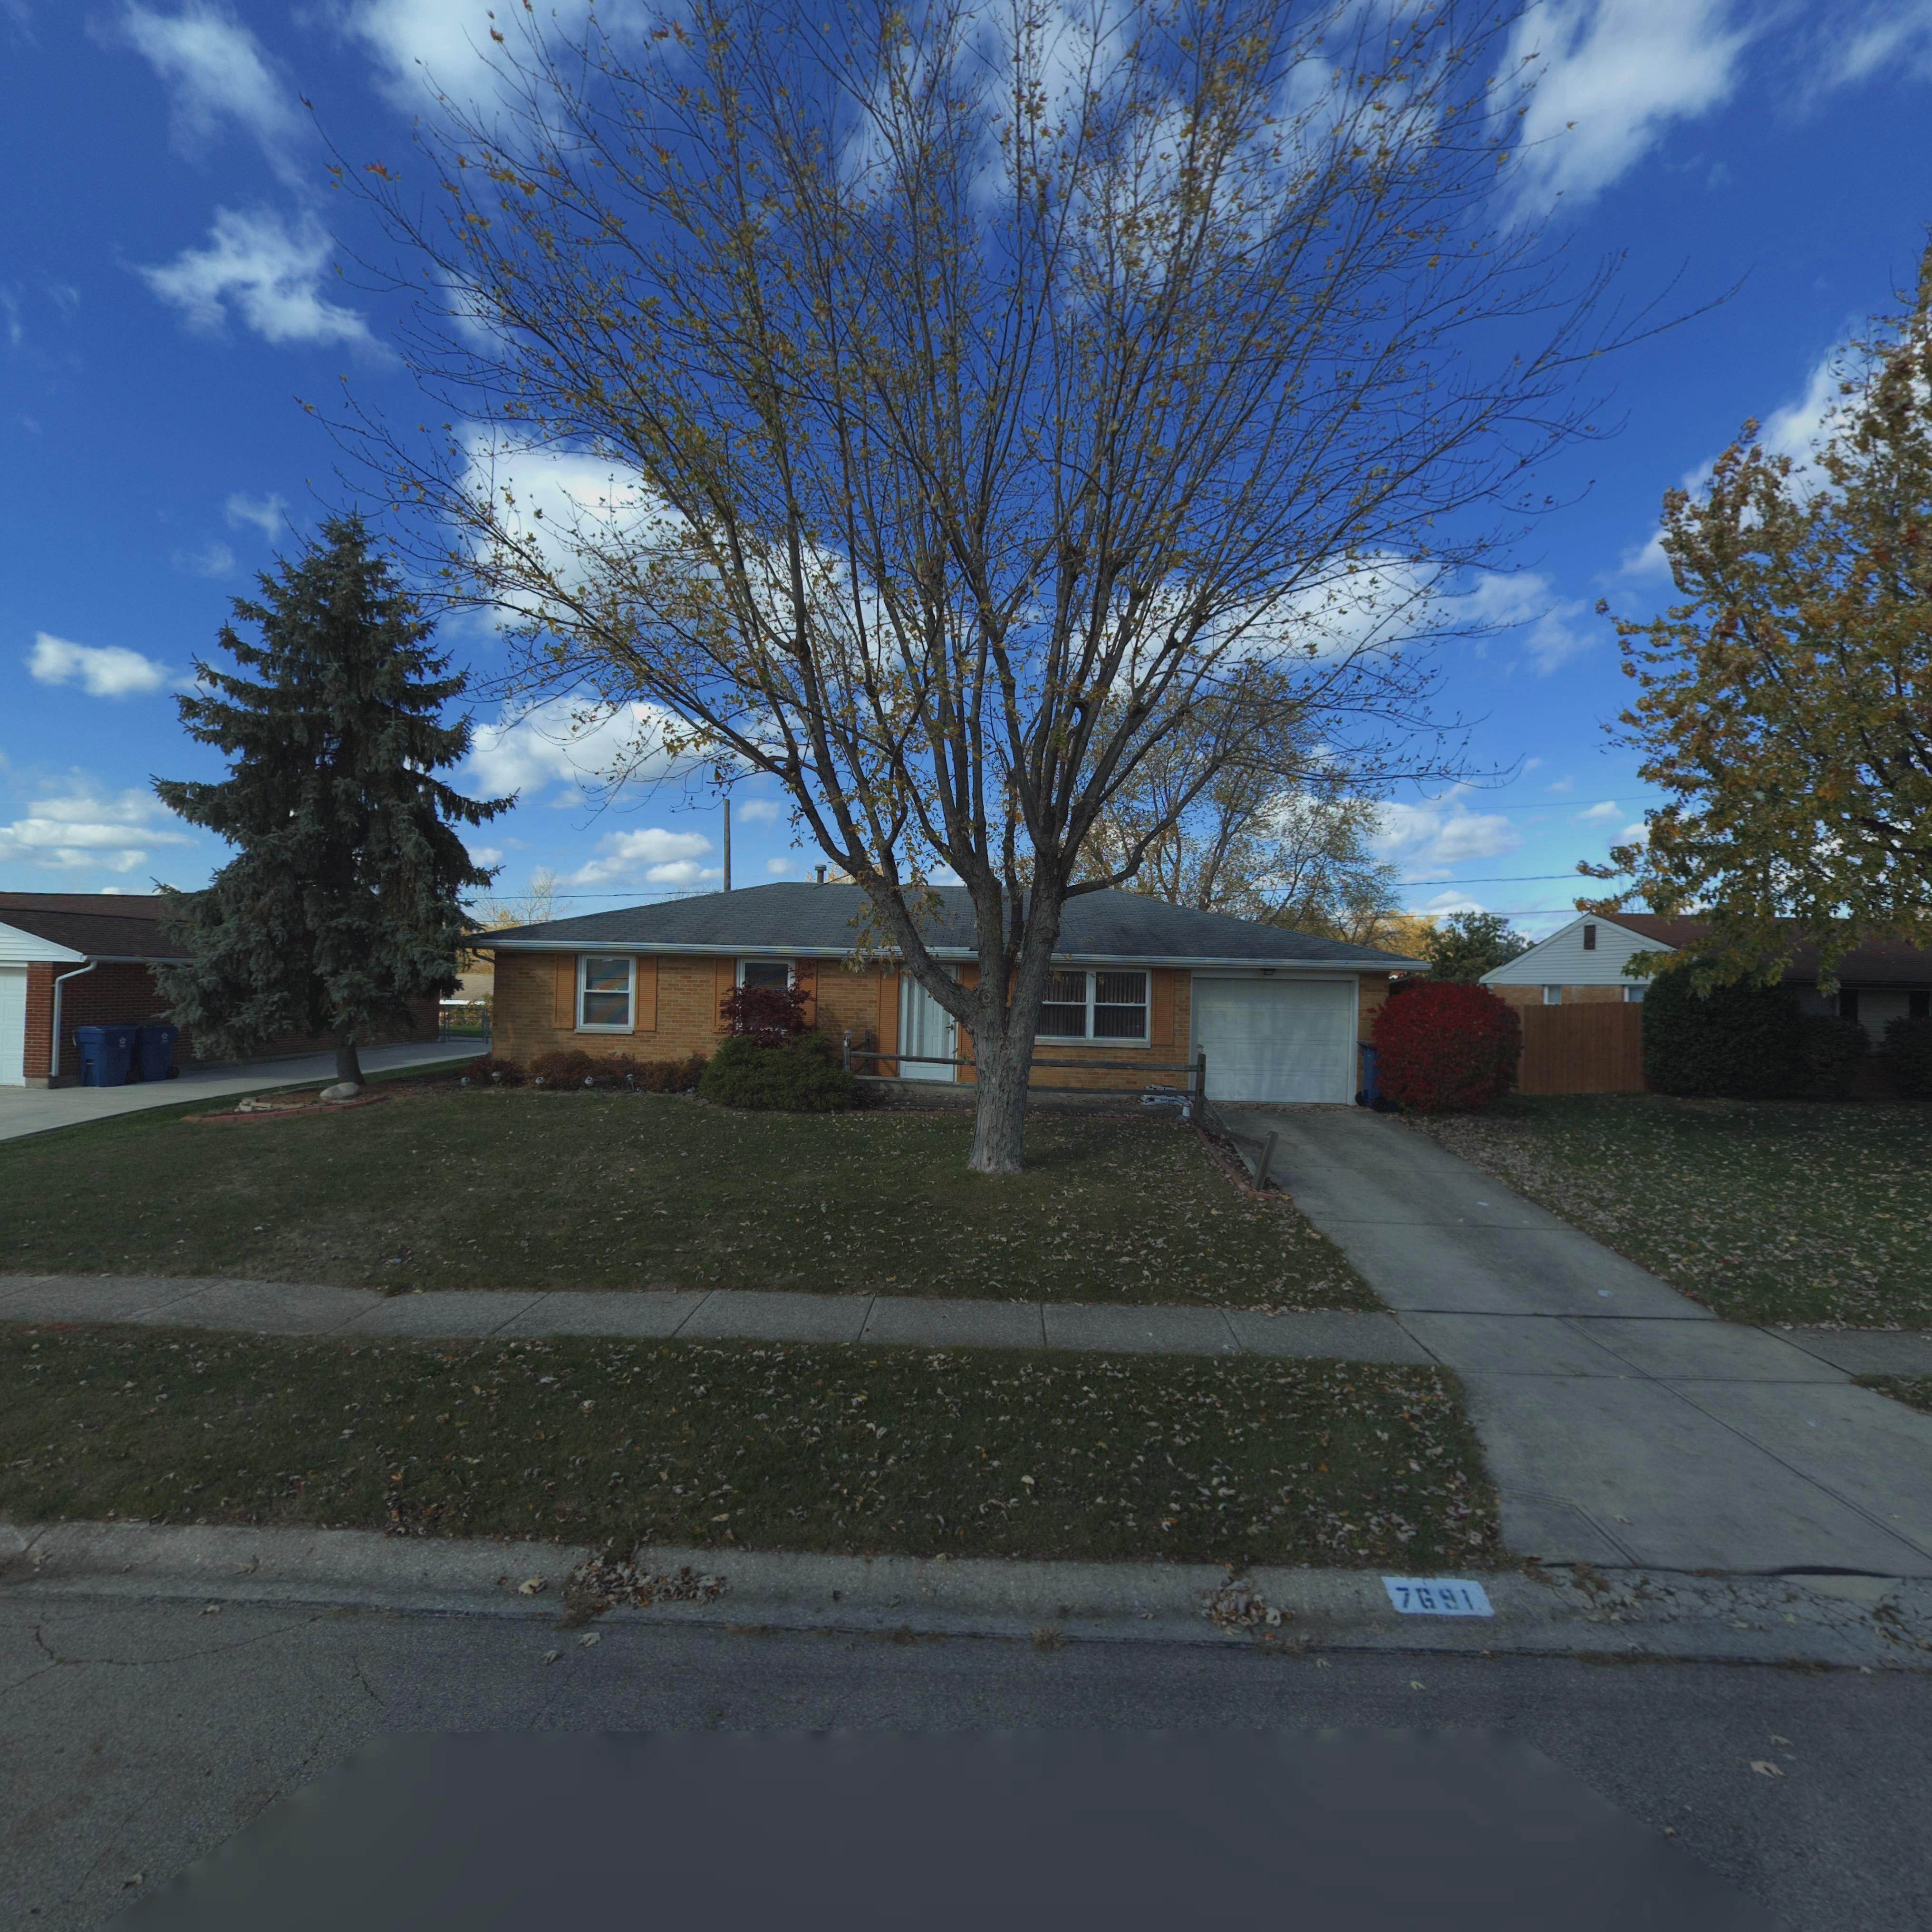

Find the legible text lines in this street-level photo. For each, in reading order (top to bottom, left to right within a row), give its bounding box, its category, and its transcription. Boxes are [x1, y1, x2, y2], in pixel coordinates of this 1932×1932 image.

[1394, 1586, 1478, 1612] StreetNumber: 7691